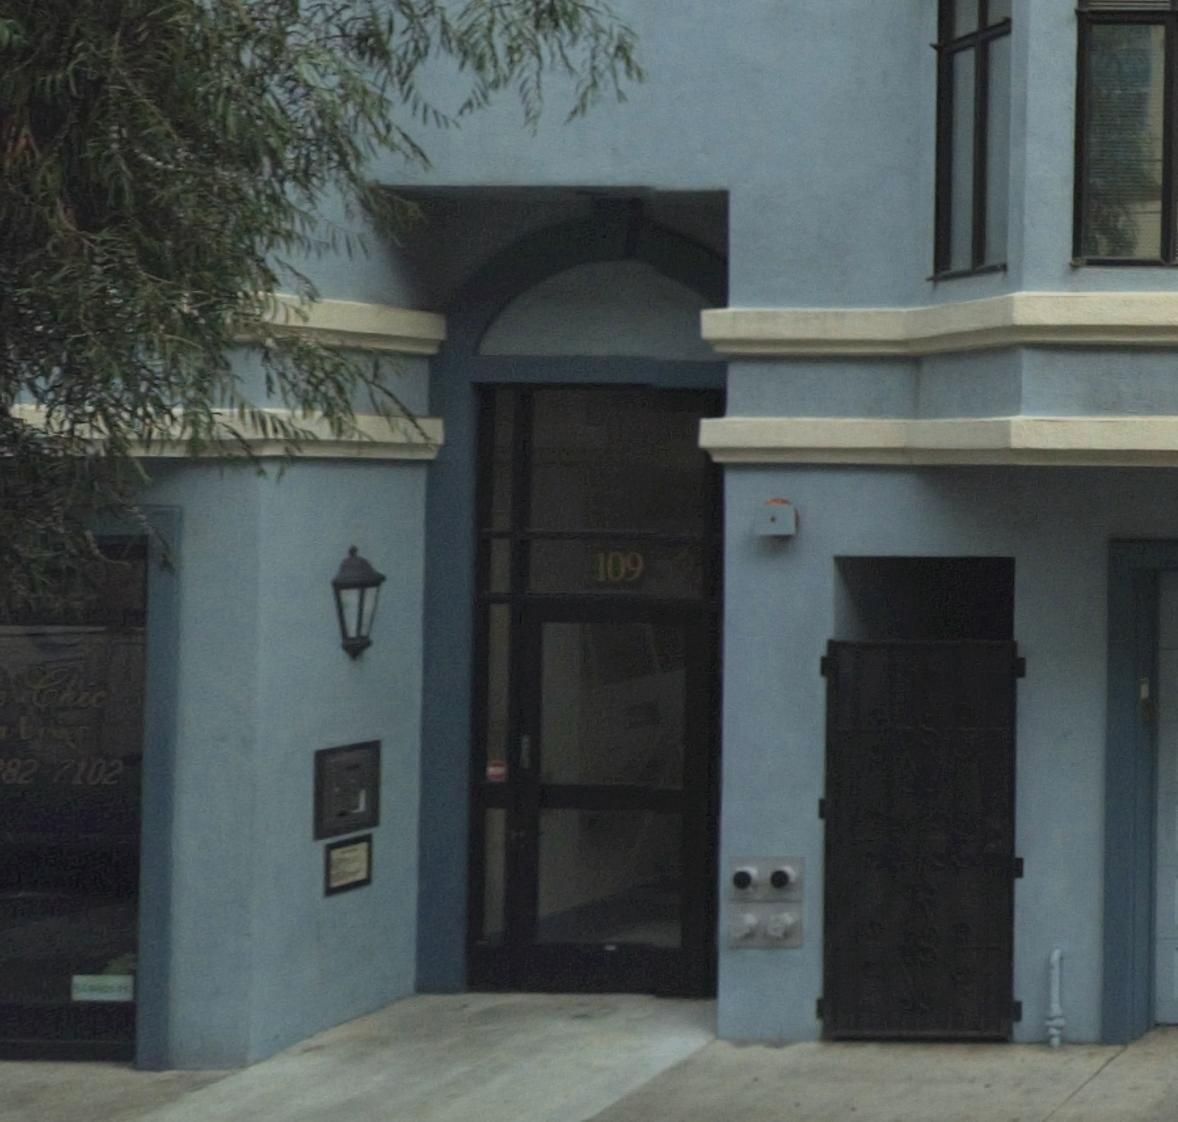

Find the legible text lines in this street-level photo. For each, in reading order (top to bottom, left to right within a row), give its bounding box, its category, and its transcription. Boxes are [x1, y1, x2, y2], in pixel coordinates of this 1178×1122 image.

[594, 550, 645, 584] StreetNumber: 109
[23, 666, 107, 715] BusinessName: Chic
[0, 757, 125, 787] None: 82-7102